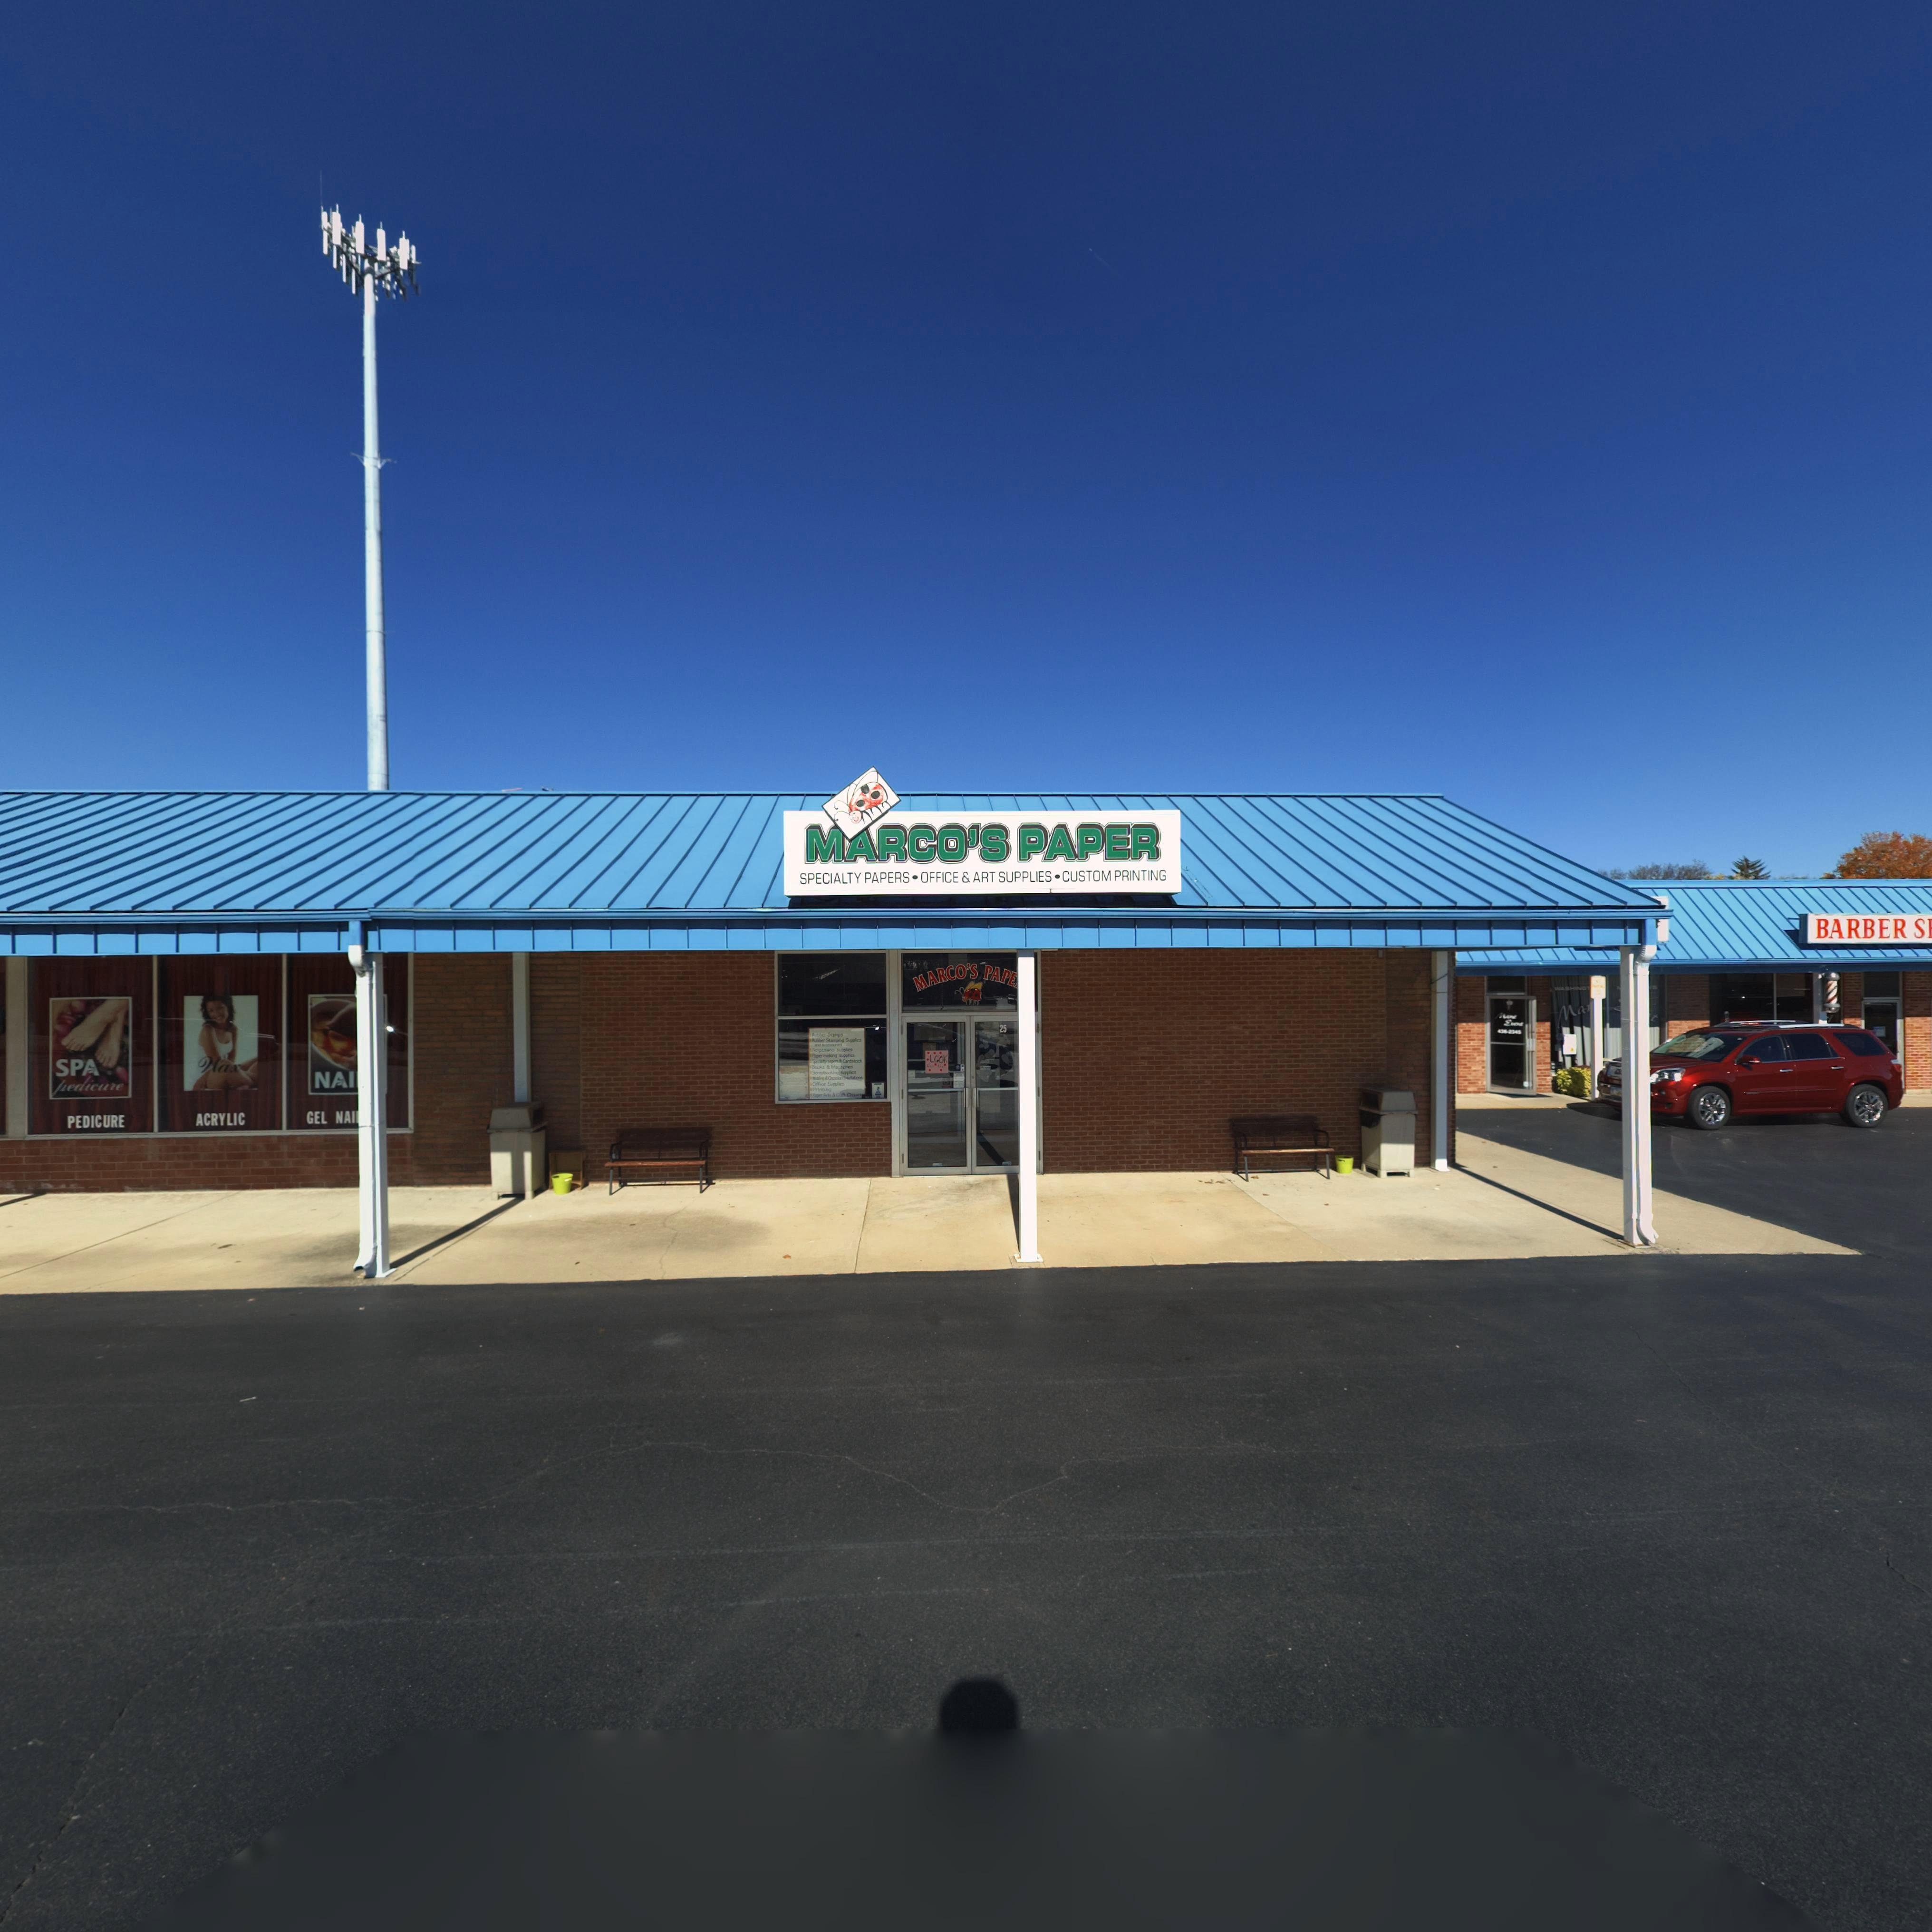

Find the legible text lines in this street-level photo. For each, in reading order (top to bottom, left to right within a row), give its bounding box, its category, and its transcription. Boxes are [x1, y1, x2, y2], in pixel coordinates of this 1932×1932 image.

[803, 820, 1164, 865] BusinessName: MARCO'S PAPER
[799, 868, 1168, 886] None: SPECIALTY PAPERS * OFFICE & ART SUPPLIES * CUSTOM PRINTING
[1814, 918, 1926, 940] BusinessName: BARBER S
[911, 962, 1019, 993] BusinessName: MARCO'S PAPE
[1553, 985, 1587, 991] None: WASHING
[999, 1024, 1007, 1034] StreetNumber: 25
[1493, 1011, 1507, 1020] BusinessName: M
[1502, 1019, 1513, 1027] BusinessName: E
[1496, 1029, 1522, 1035] None: 436-2*4*
[1556, 1004, 1587, 1030] BusinessName: Ma
[55, 1058, 101, 1078] None: SPA
[196, 1054, 245, 1074] None: Wax
[929, 1054, 949, 1064] None: LOOK
[50, 1078, 125, 1098] None: pedicure
[313, 1070, 356, 1090] None: NAI
[66, 1114, 126, 1130] None: PEDICURE
[194, 1111, 246, 1127] None: ACRYLIC
[306, 1110, 356, 1125] None: GET NAI